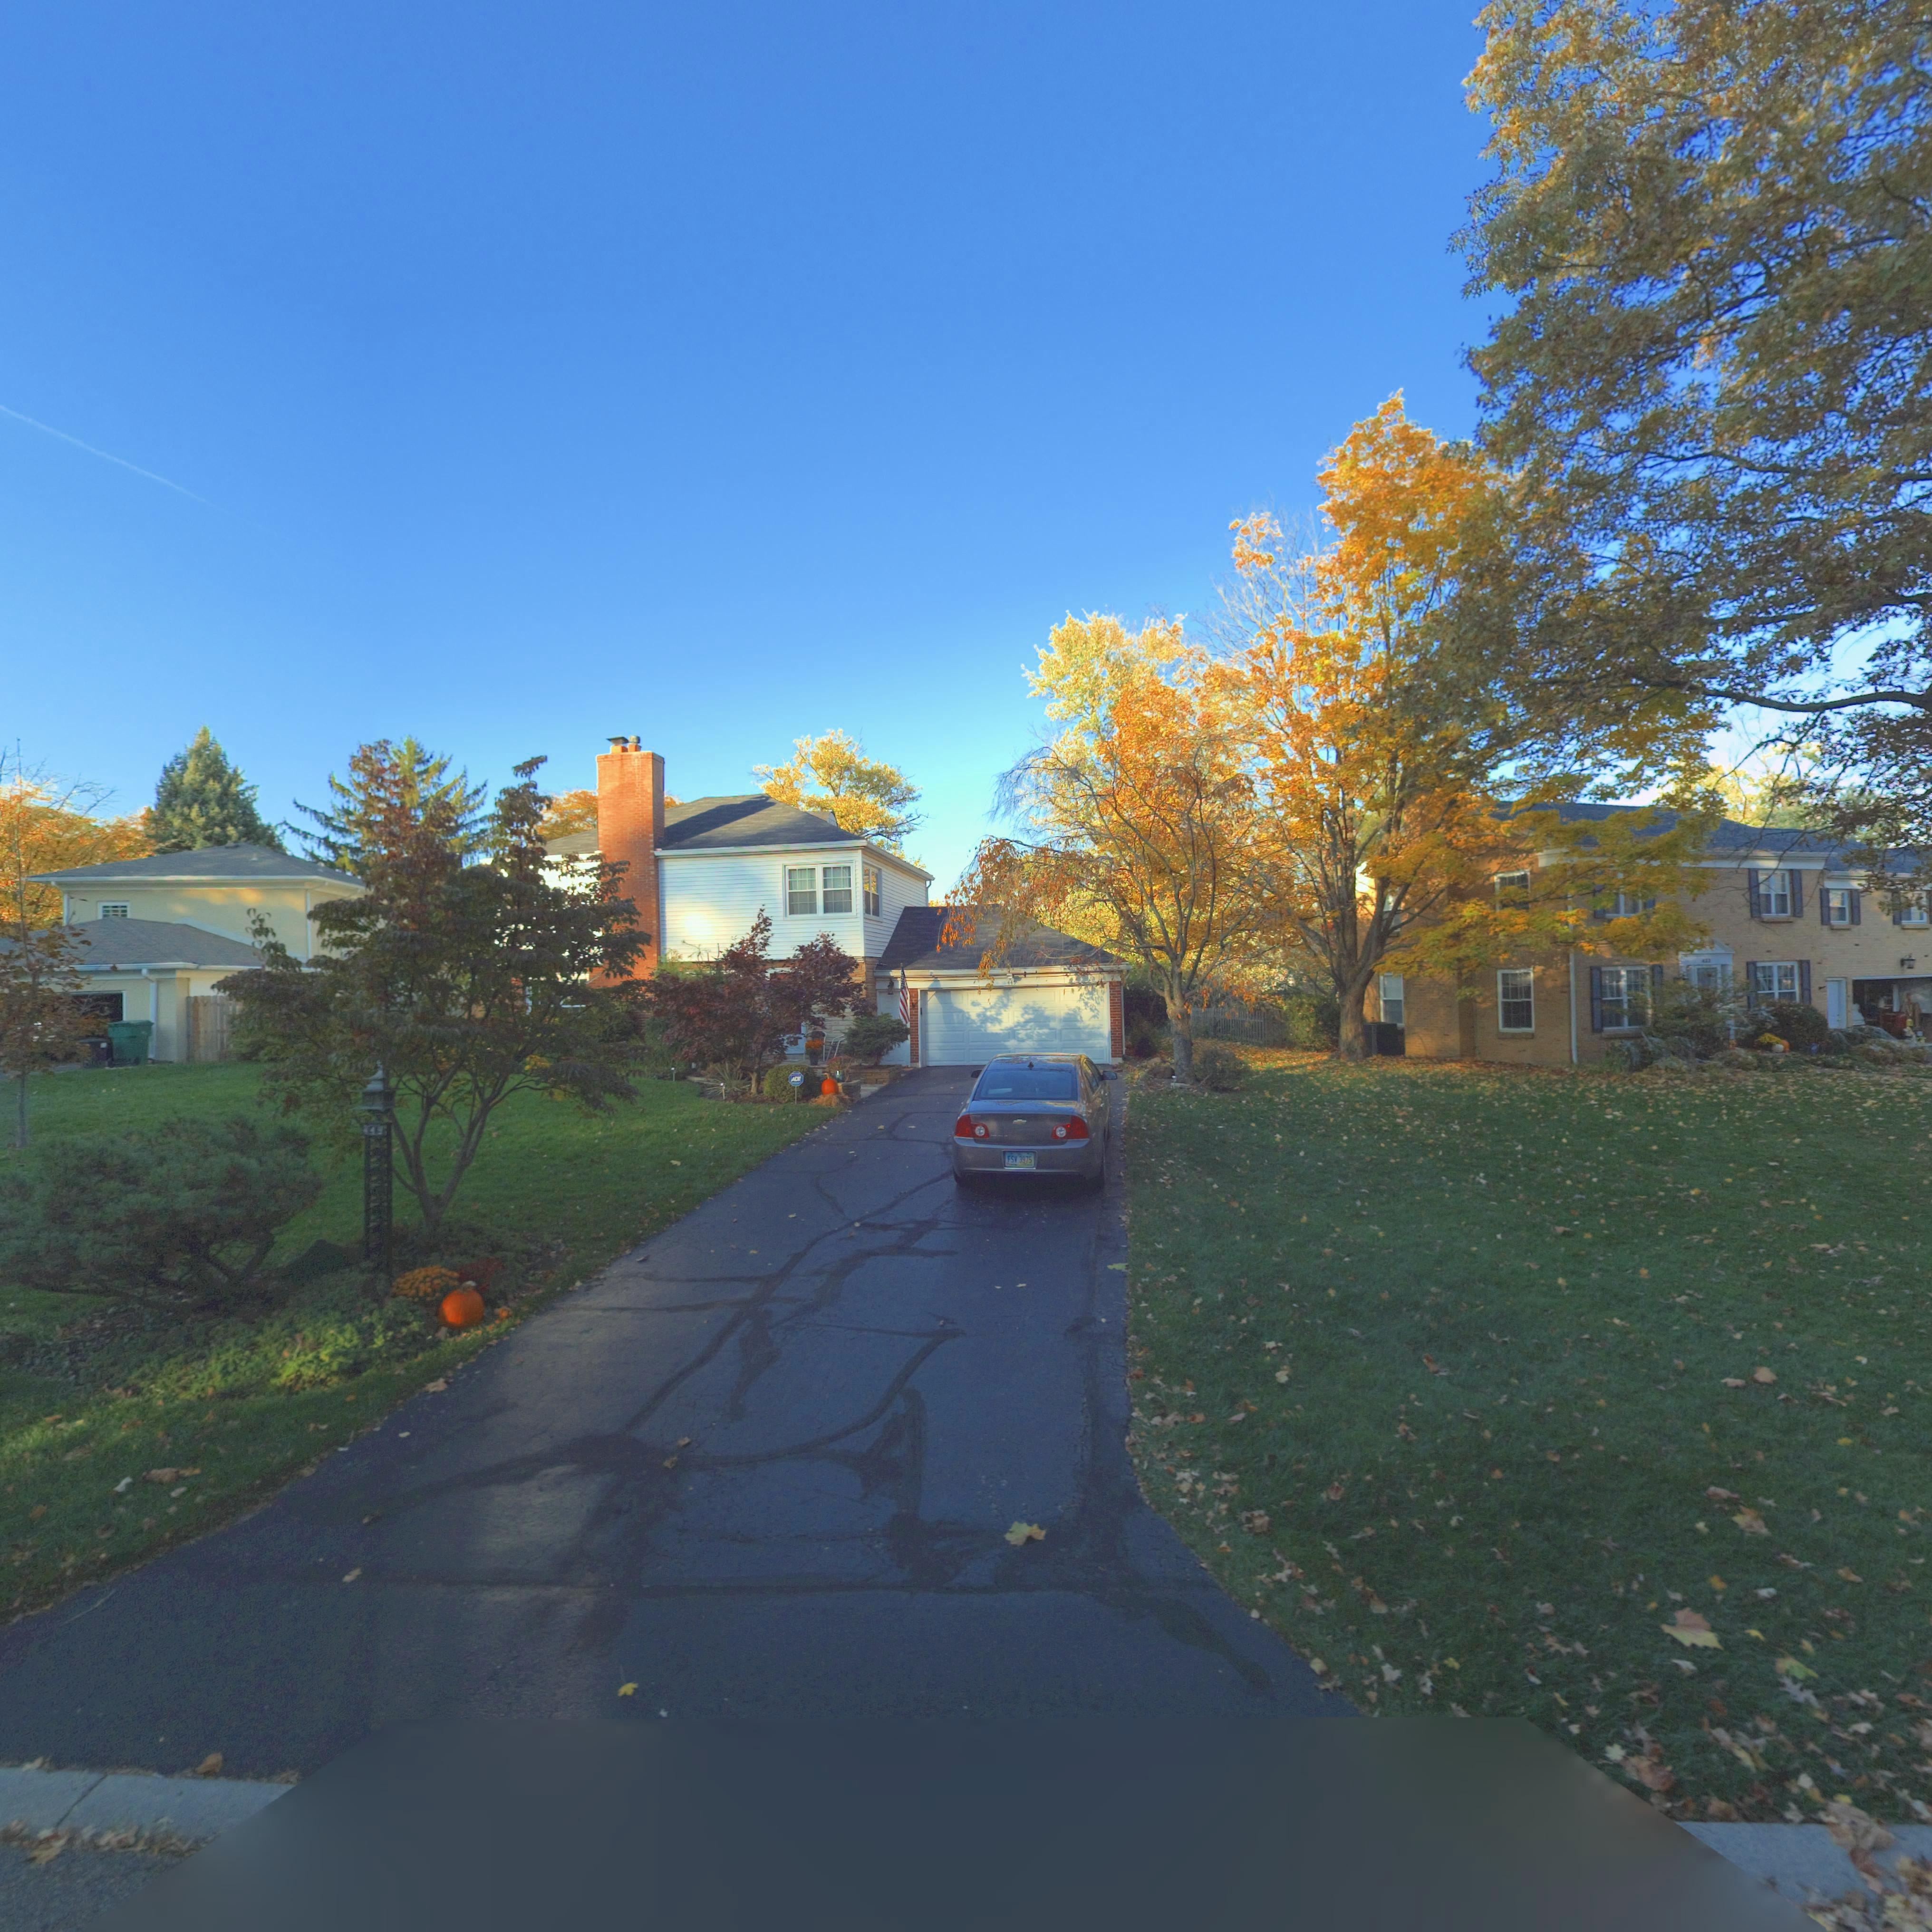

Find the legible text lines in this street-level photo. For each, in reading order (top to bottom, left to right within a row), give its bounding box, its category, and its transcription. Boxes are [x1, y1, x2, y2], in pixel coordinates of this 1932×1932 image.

[1006, 979, 1018, 985] StreetNumber: 449
[362, 1125, 383, 1136] StreetNumber: *4*